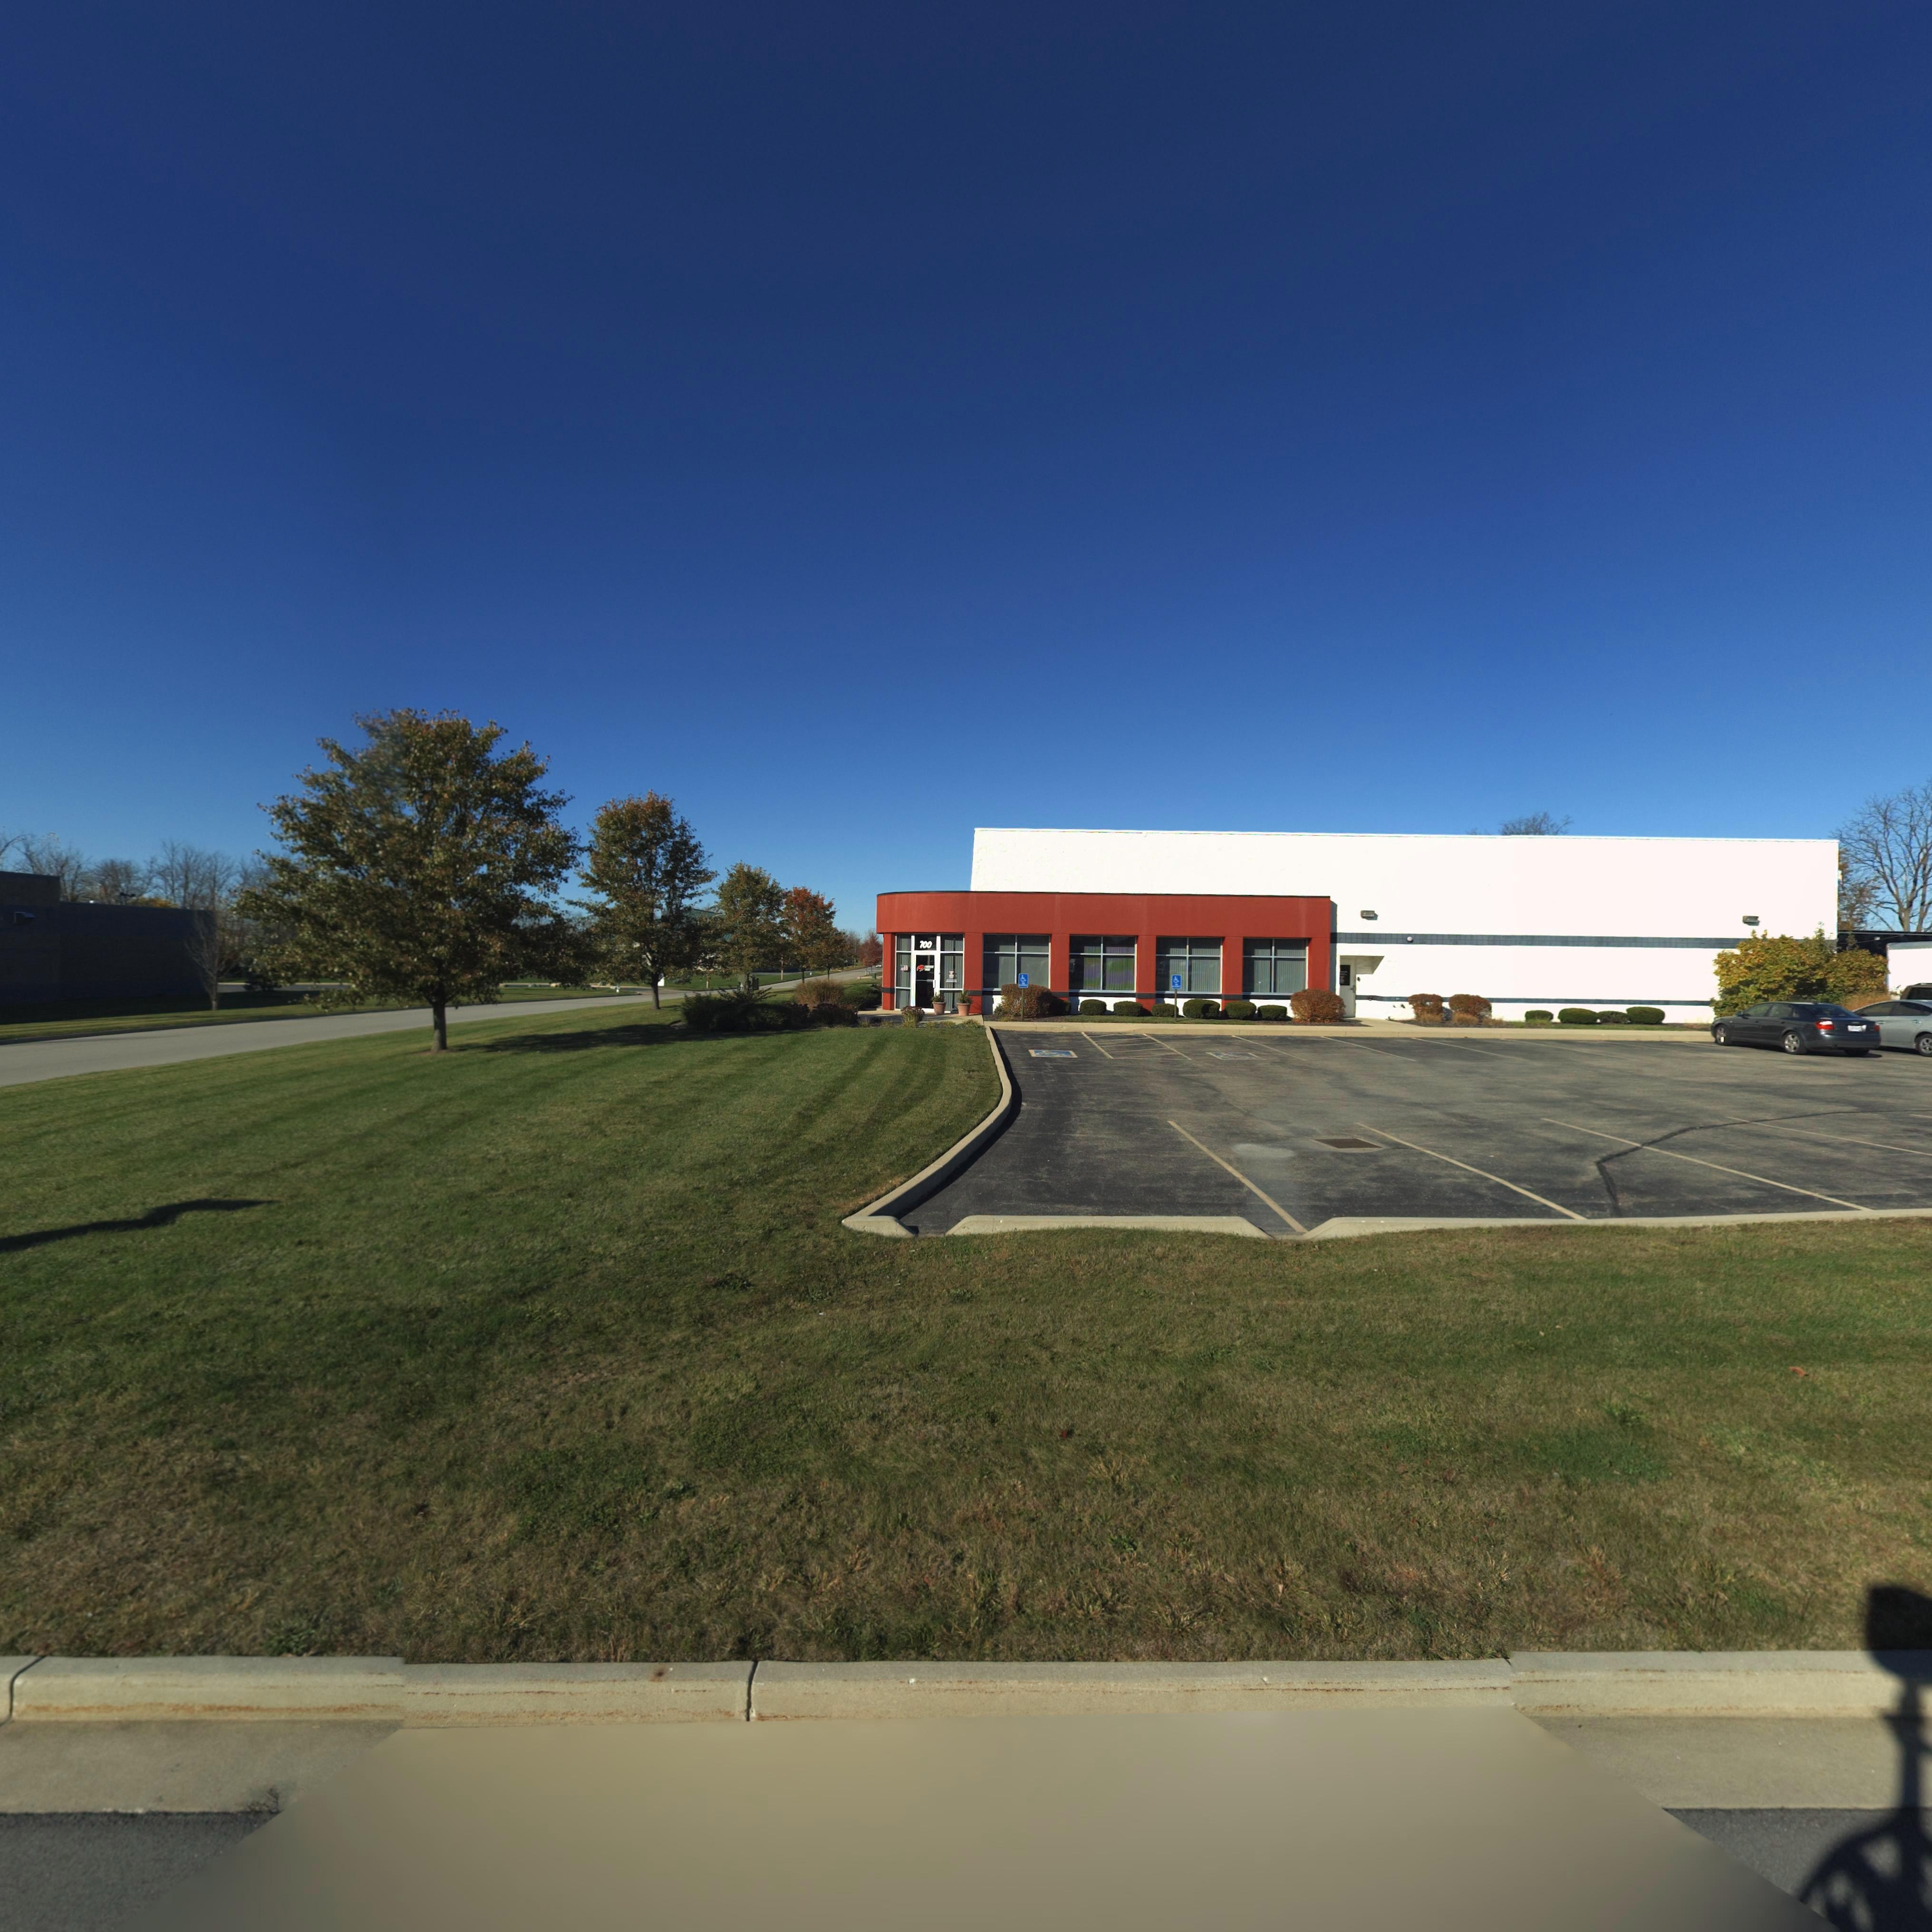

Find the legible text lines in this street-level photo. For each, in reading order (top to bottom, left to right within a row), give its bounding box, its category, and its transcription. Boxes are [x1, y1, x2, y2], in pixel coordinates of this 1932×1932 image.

[919, 940, 933, 949] StreetNumber: 700
[899, 964, 908, 971] StreetNumber: 700